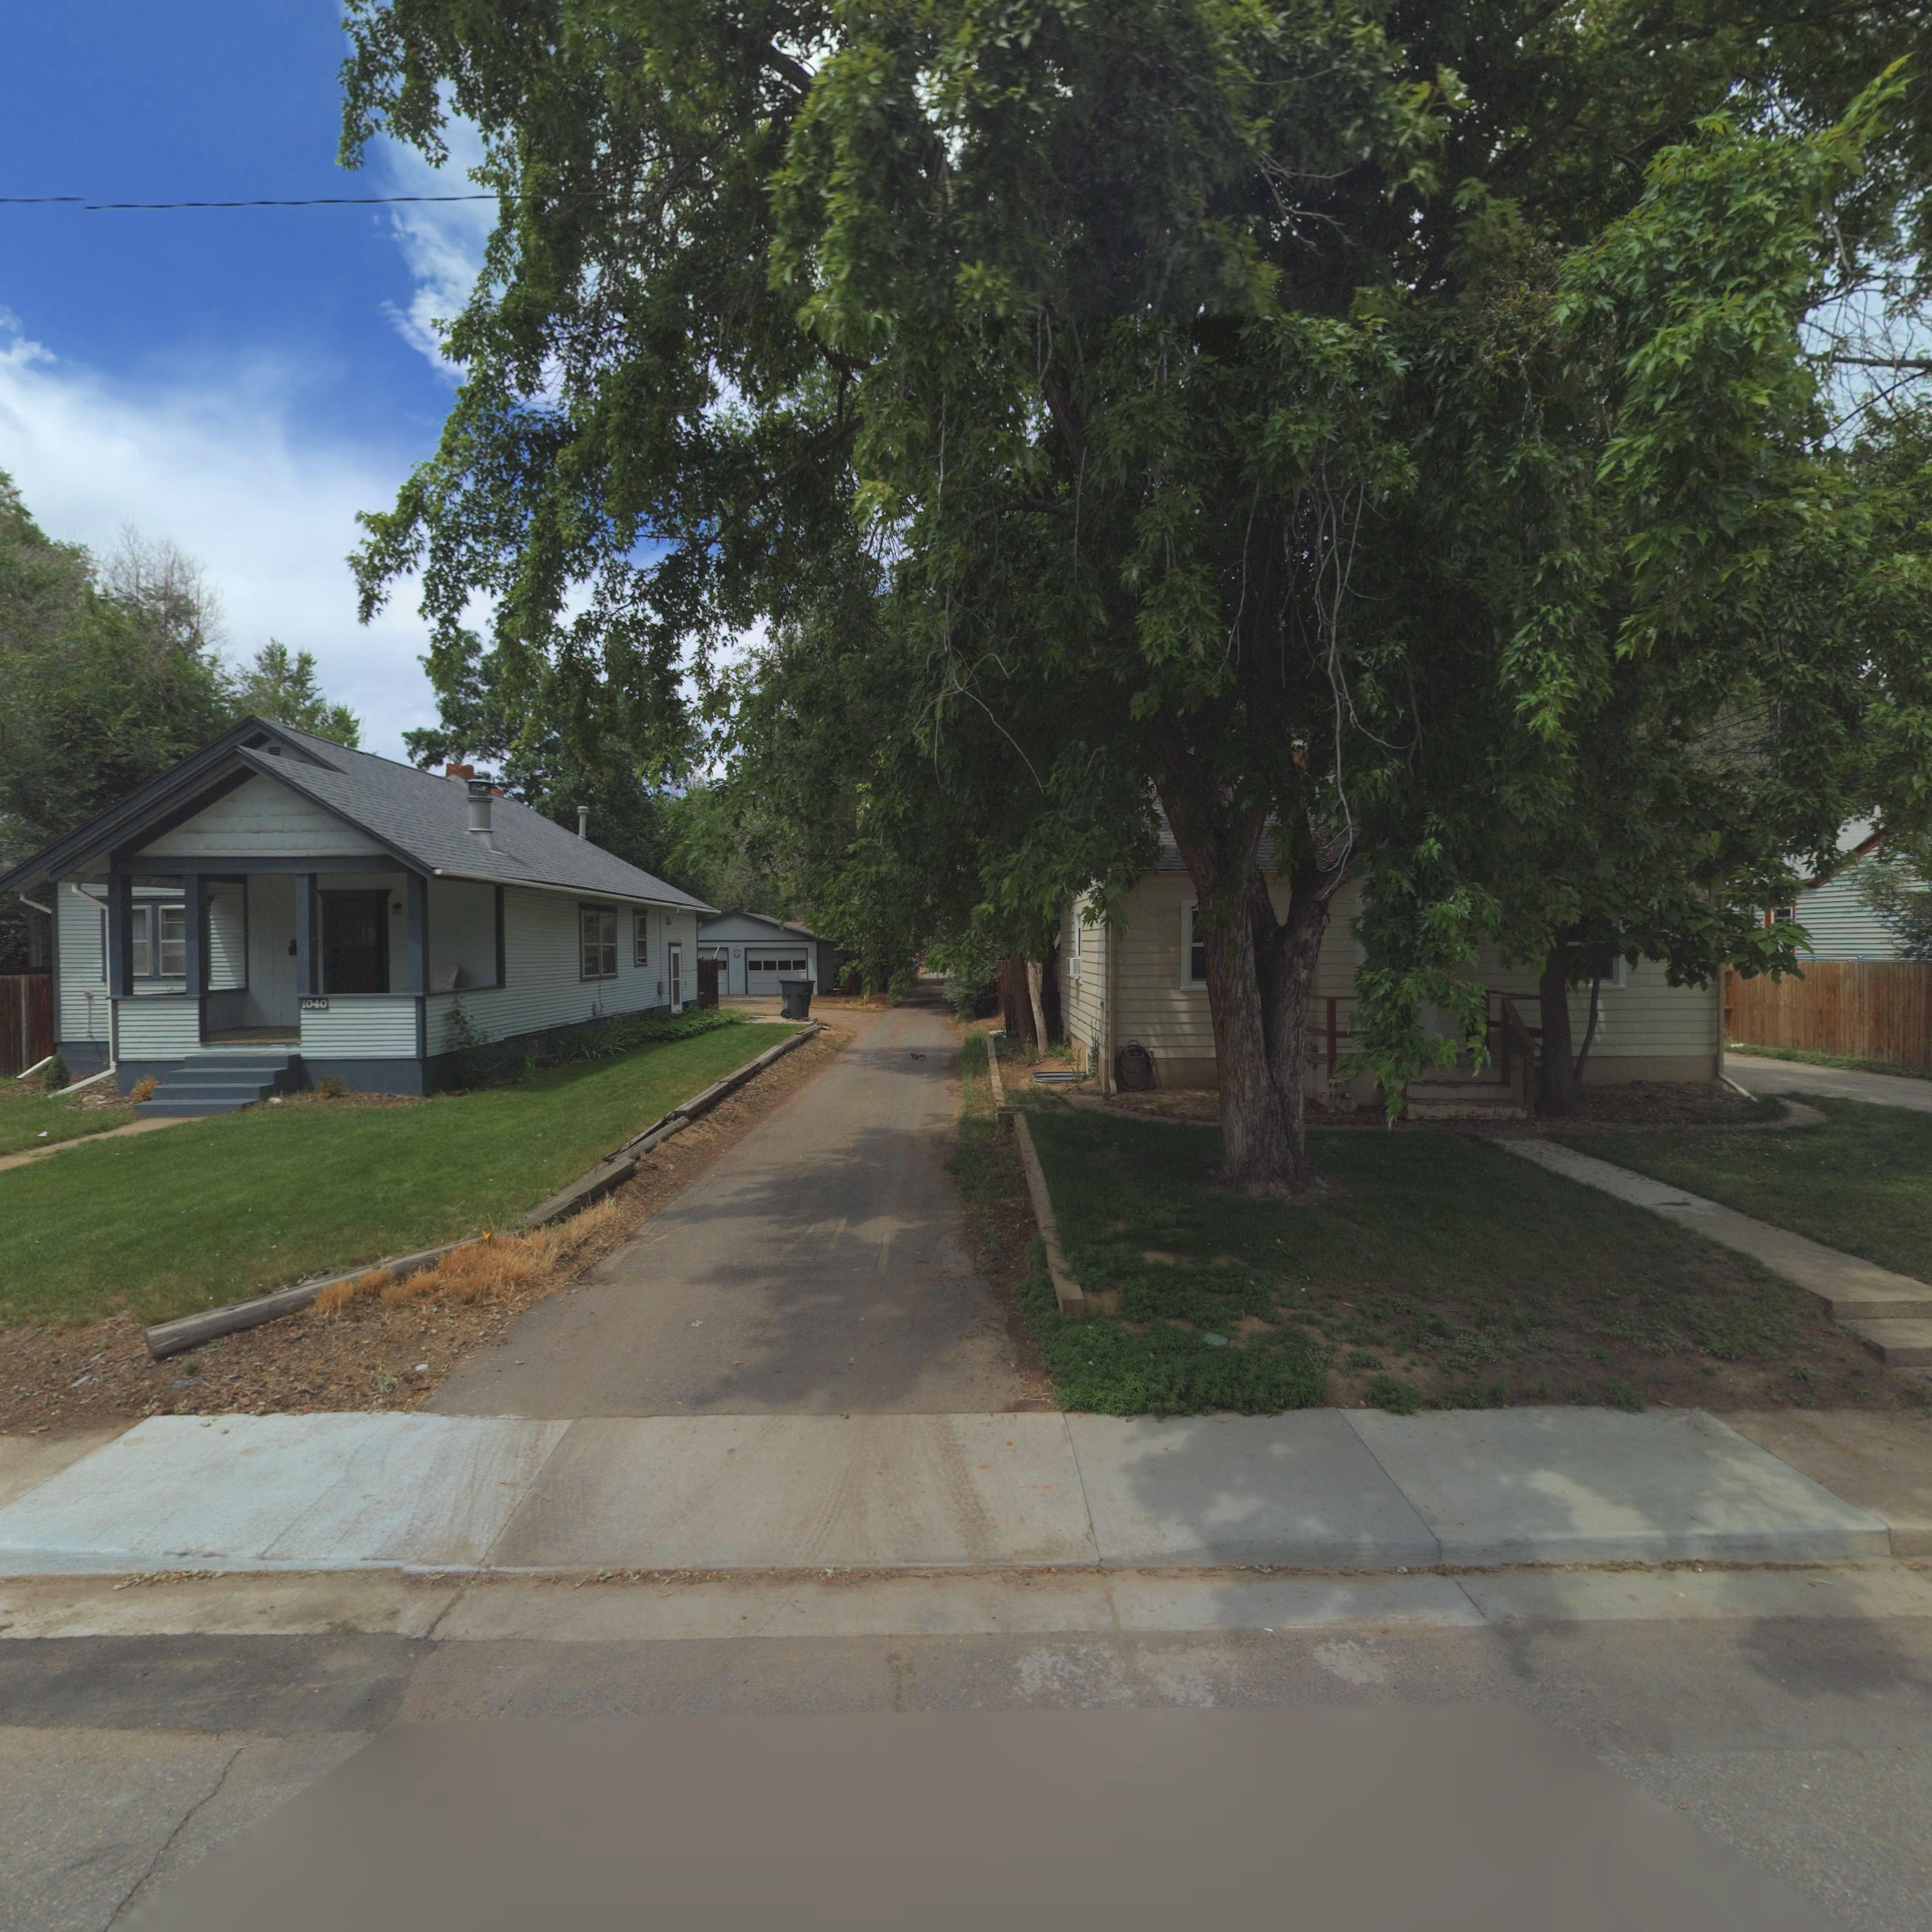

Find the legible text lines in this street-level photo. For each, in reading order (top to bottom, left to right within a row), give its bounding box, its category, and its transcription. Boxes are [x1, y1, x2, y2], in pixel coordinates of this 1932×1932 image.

[300, 998, 328, 1009] StreetNumber: 1040